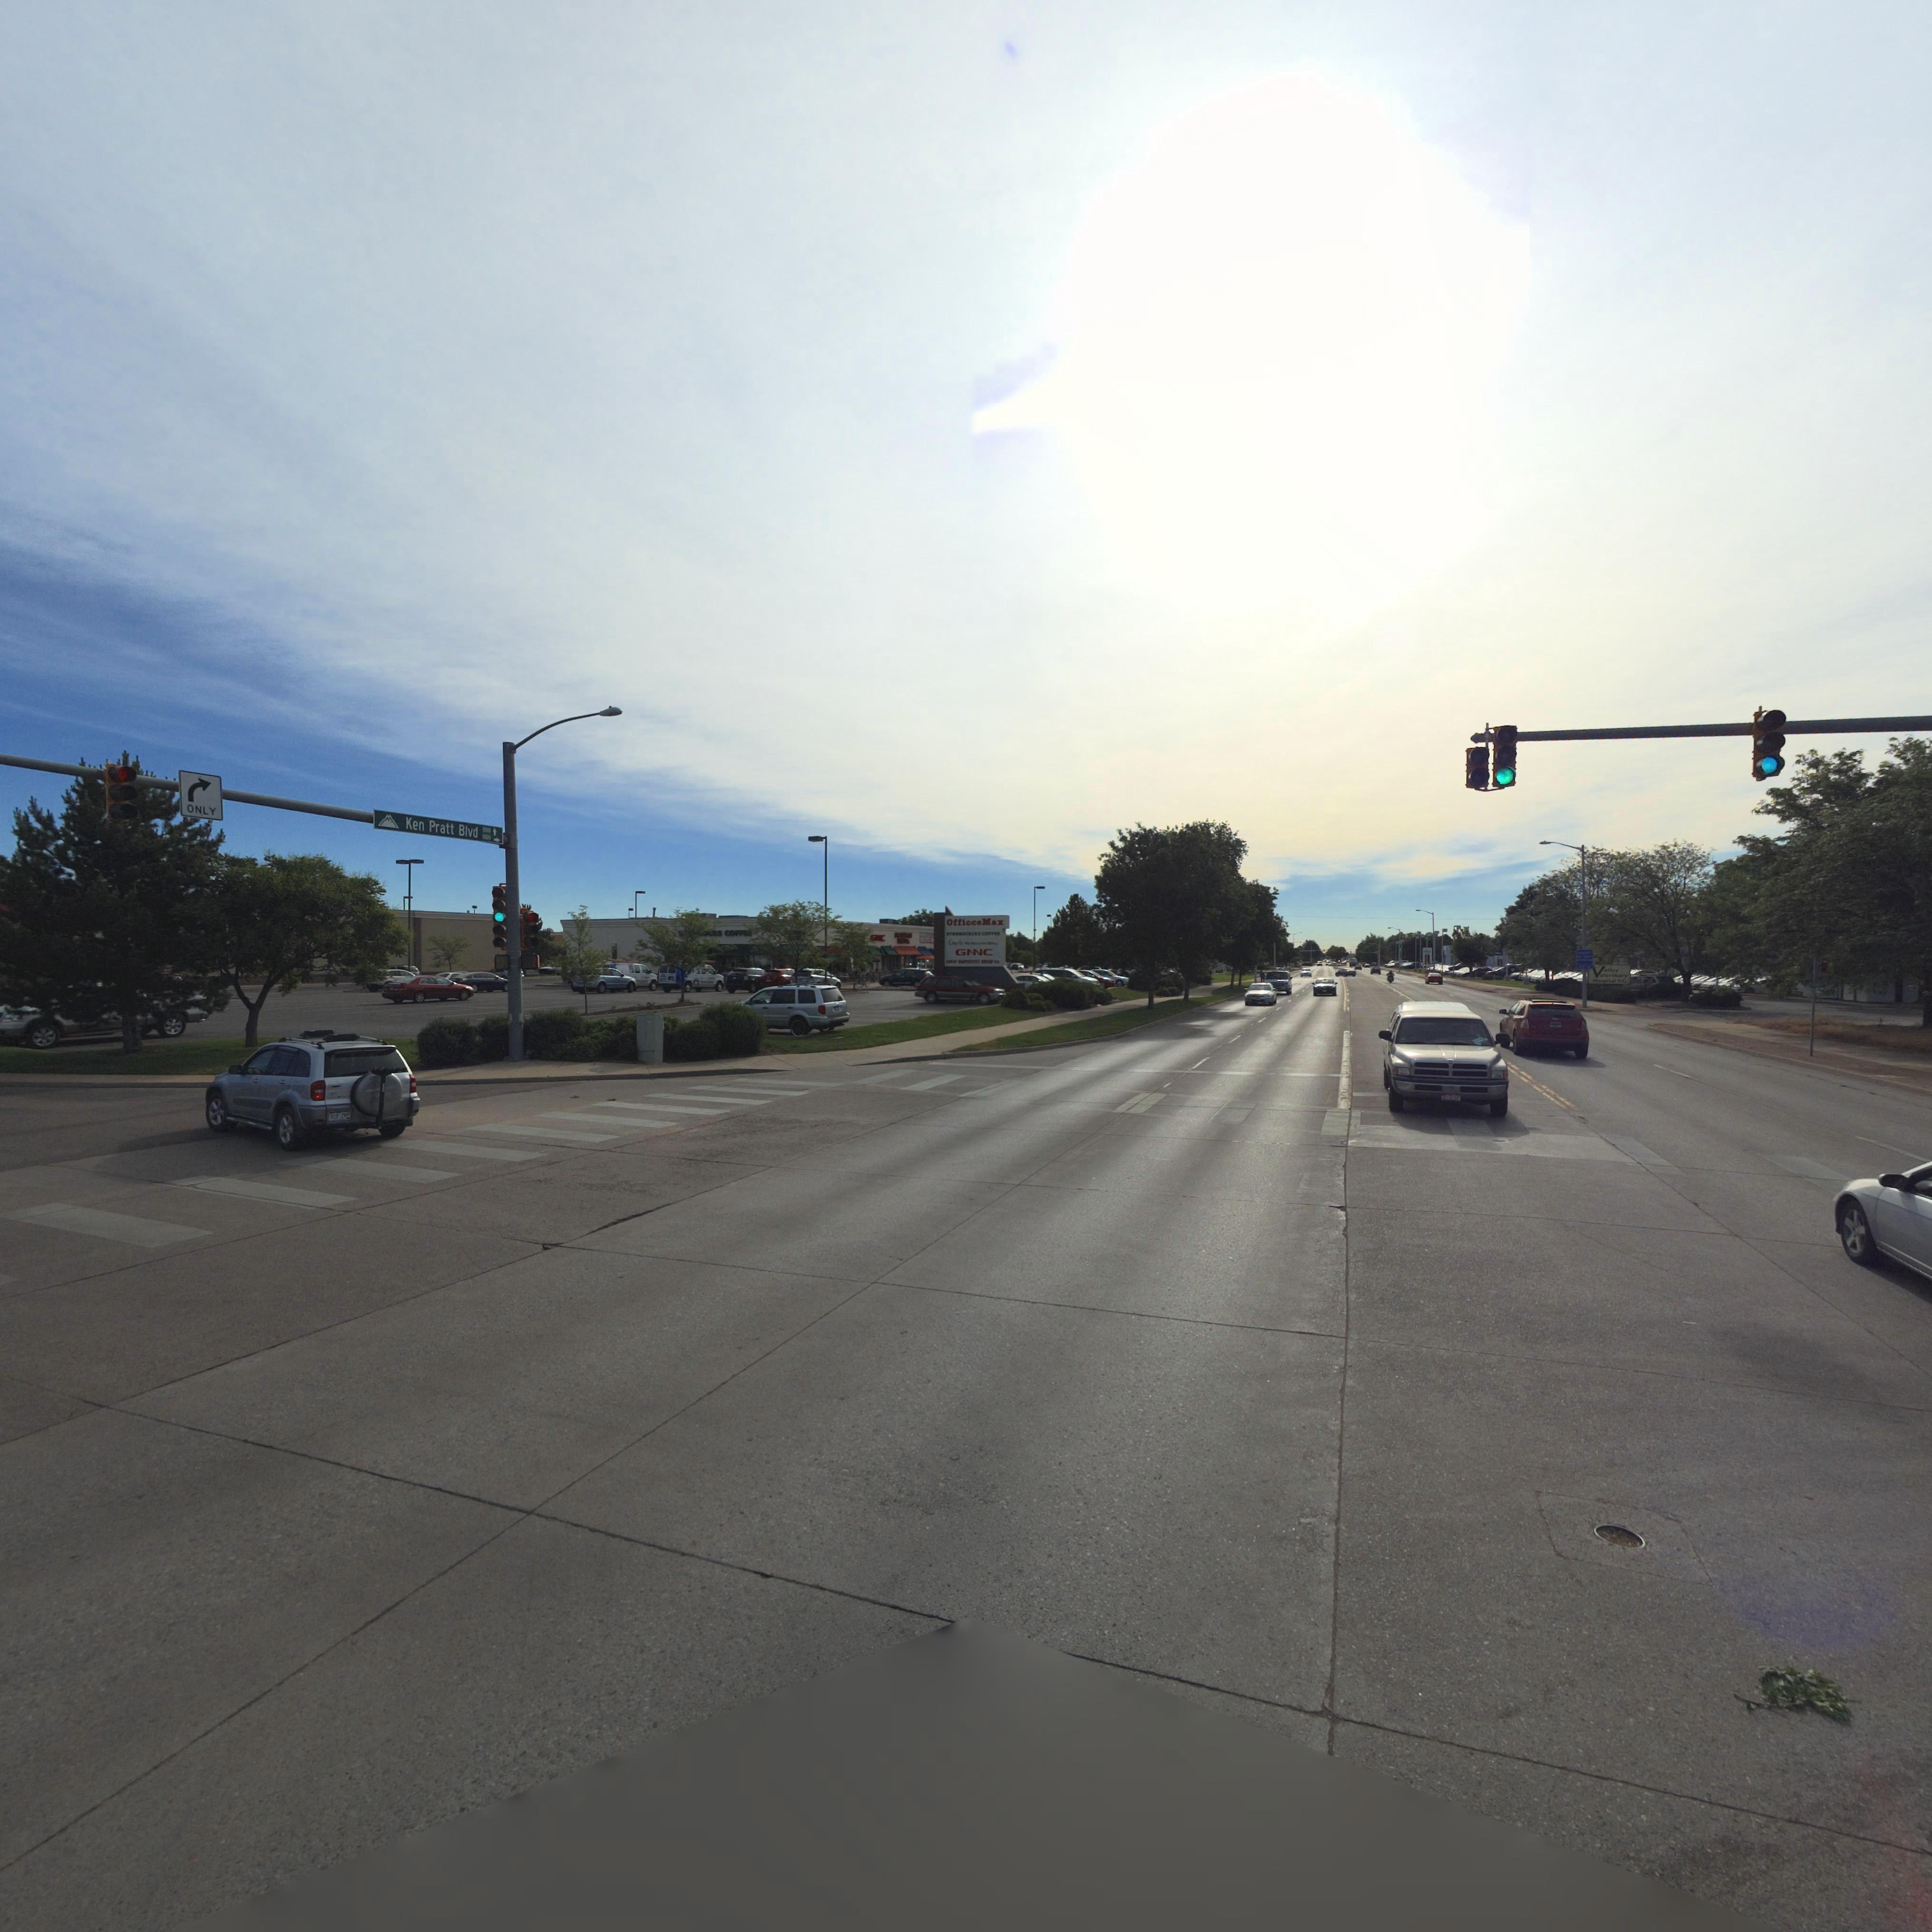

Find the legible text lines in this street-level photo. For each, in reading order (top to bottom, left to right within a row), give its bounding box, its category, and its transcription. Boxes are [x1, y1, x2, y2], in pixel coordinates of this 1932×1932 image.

[405, 816, 478, 838] StreetName: Ken Pratt Blvd
[482, 826, 491, 833] StreetNumberRange: 5*0
[482, 834, 501, 842] StreetName: 1**0->
[946, 918, 1004, 926] BusinessName: Office Max
[712, 929, 753, 937] BusinessName: KS COFFE*
[946, 931, 1000, 936] BusinessName: STARB*C** CO**EE
[869, 934, 886, 941] BusinessName: G*C
[948, 939, 964, 947] BusinessName: C*******
[955, 948, 993, 956] BusinessName: G*NC
[945, 959, 1001, 964] BusinessName: G***T ****VEST**** **EAD CO.
[1591, 965, 1606, 978] BusinessName: V
[1604, 967, 1619, 973] BusinessName: all*y
[1600, 972, 1628, 979] BusinessName: eterinary
[1592, 978, 1628, 983] BusinessName: Hospital P.C.